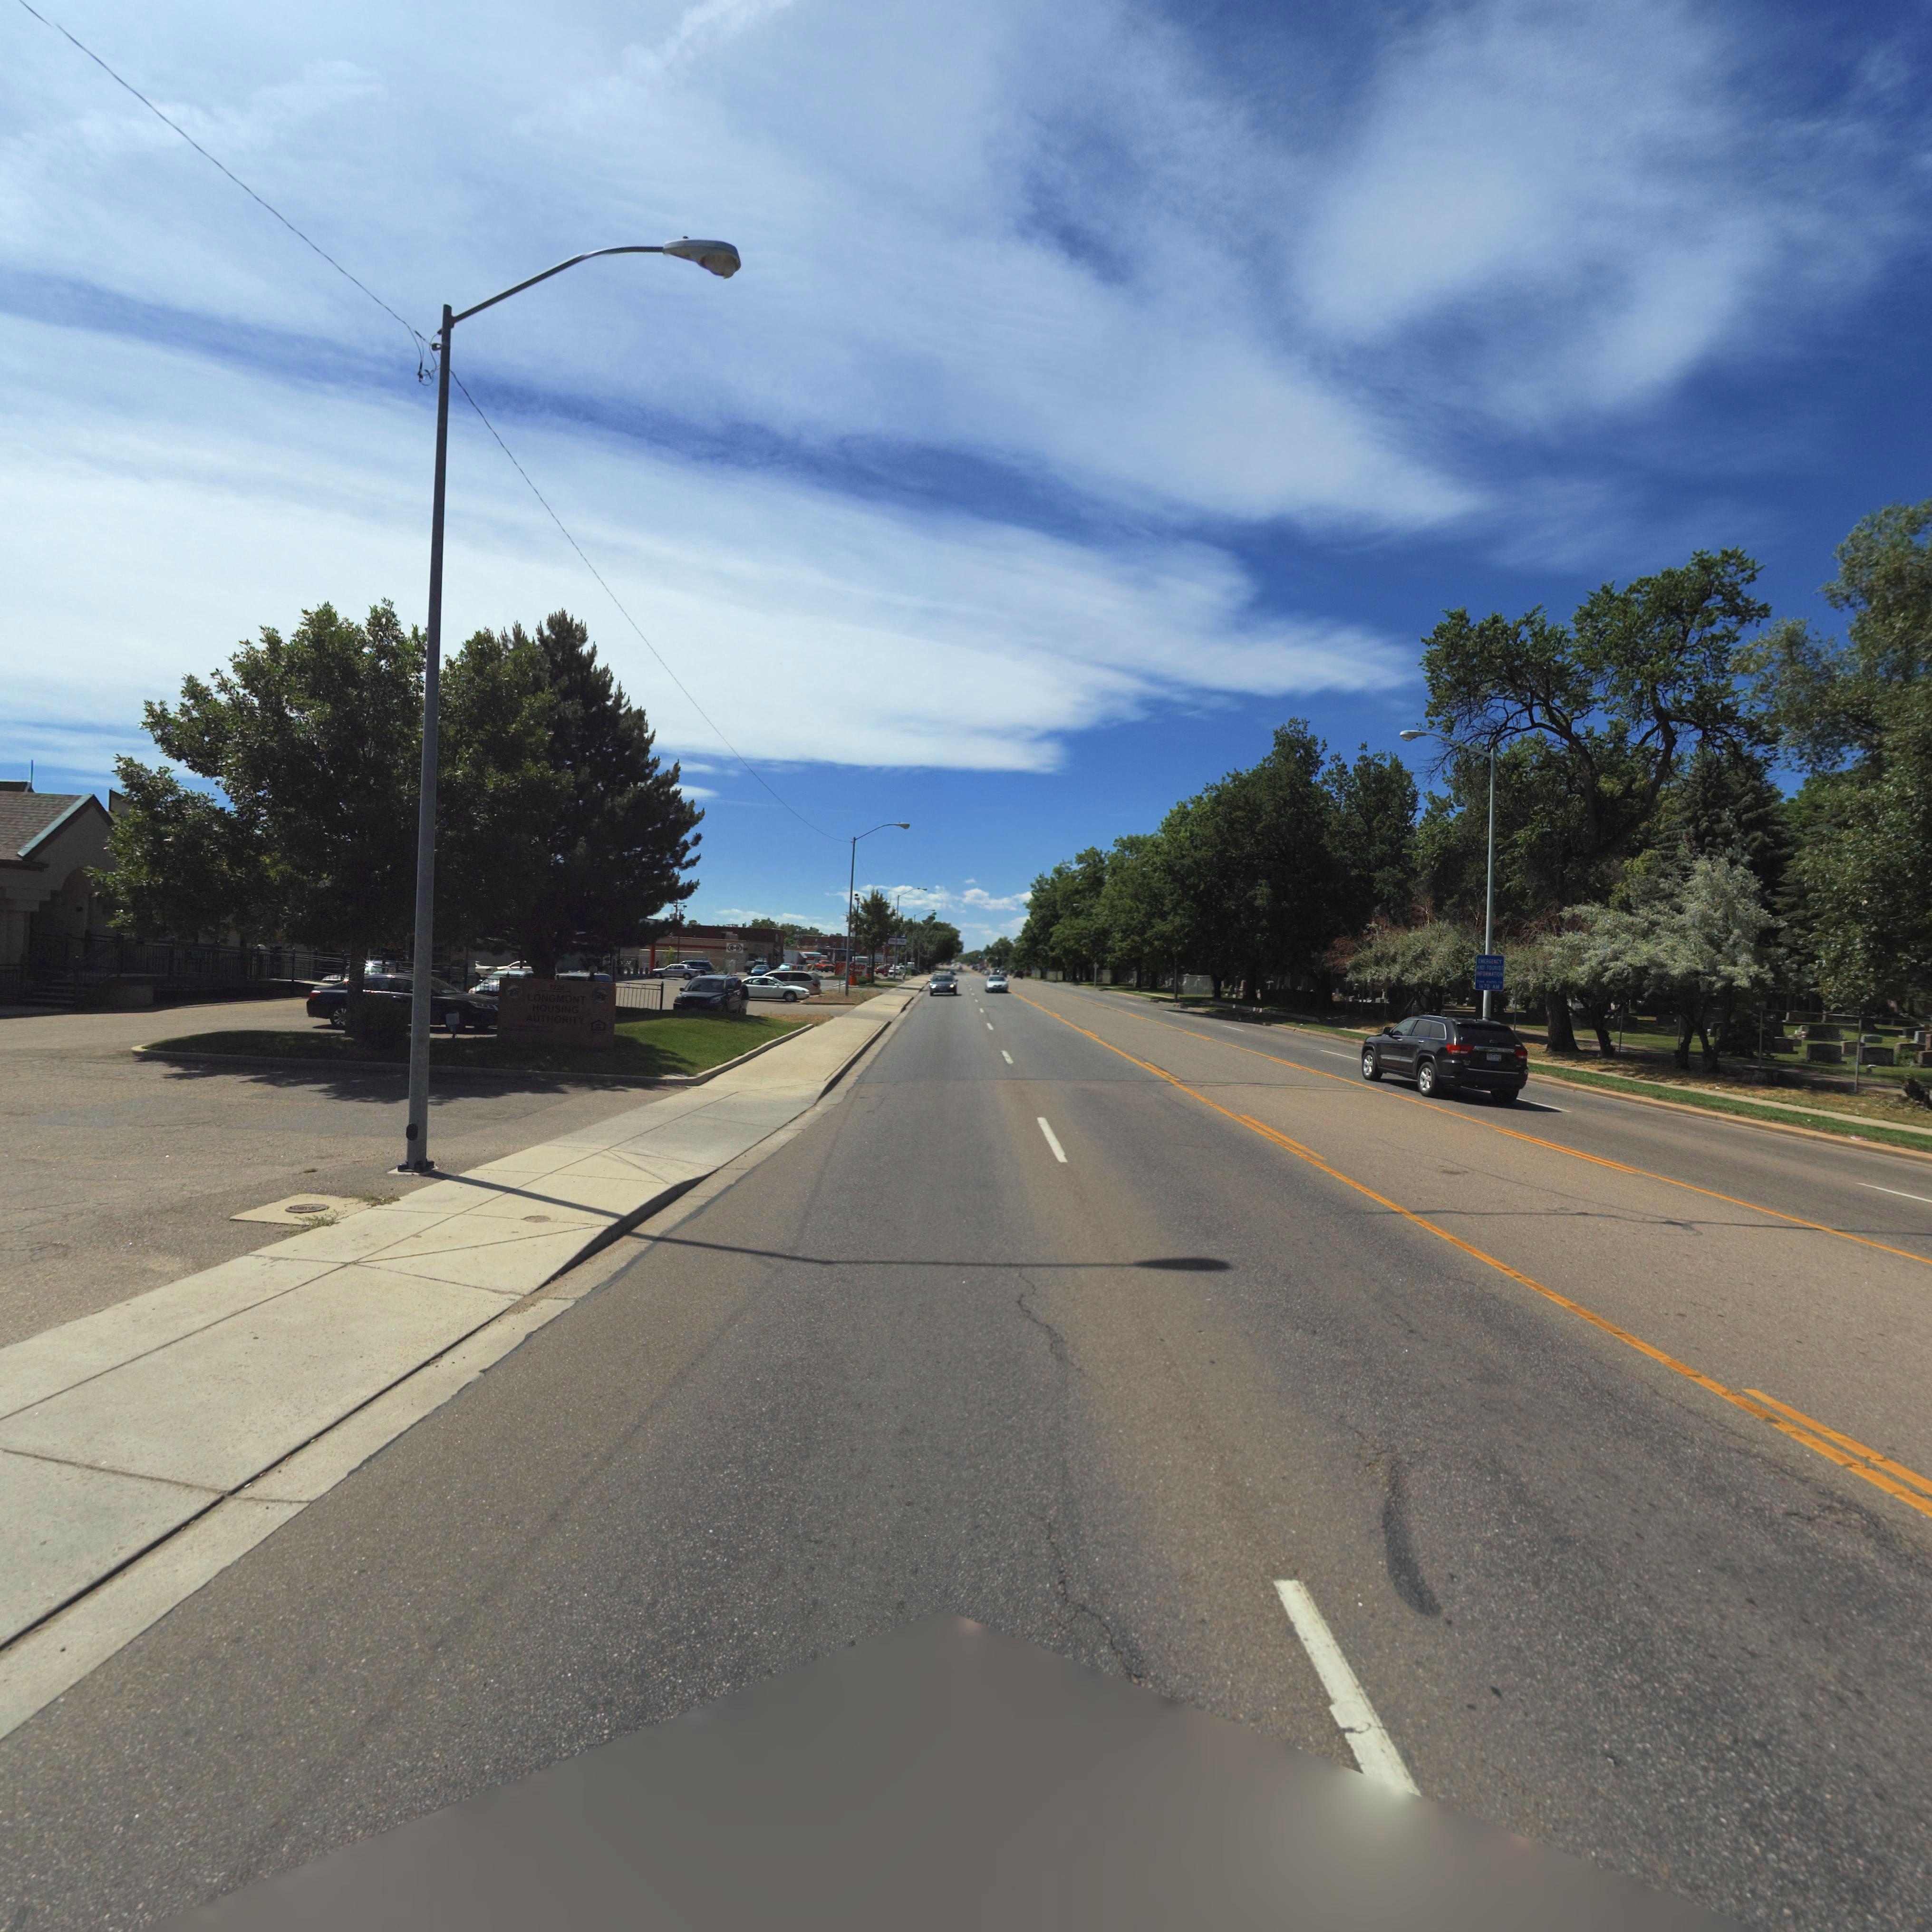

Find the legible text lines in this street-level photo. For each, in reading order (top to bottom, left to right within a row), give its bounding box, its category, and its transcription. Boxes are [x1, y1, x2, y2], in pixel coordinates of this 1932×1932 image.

[730, 945, 740, 950] BusinessName: B*H
[848, 962, 866, 969] BusinessName: **to
[843, 969, 863, 976] BusinessName: ***e
[550, 984, 564, 990] StreetNumber: 1228
[527, 994, 586, 1003] BusinessName: LONGMONT
[532, 1004, 579, 1014] BusinessName: HOUSING
[525, 1014, 585, 1024] BusinessName: AUTHORITY